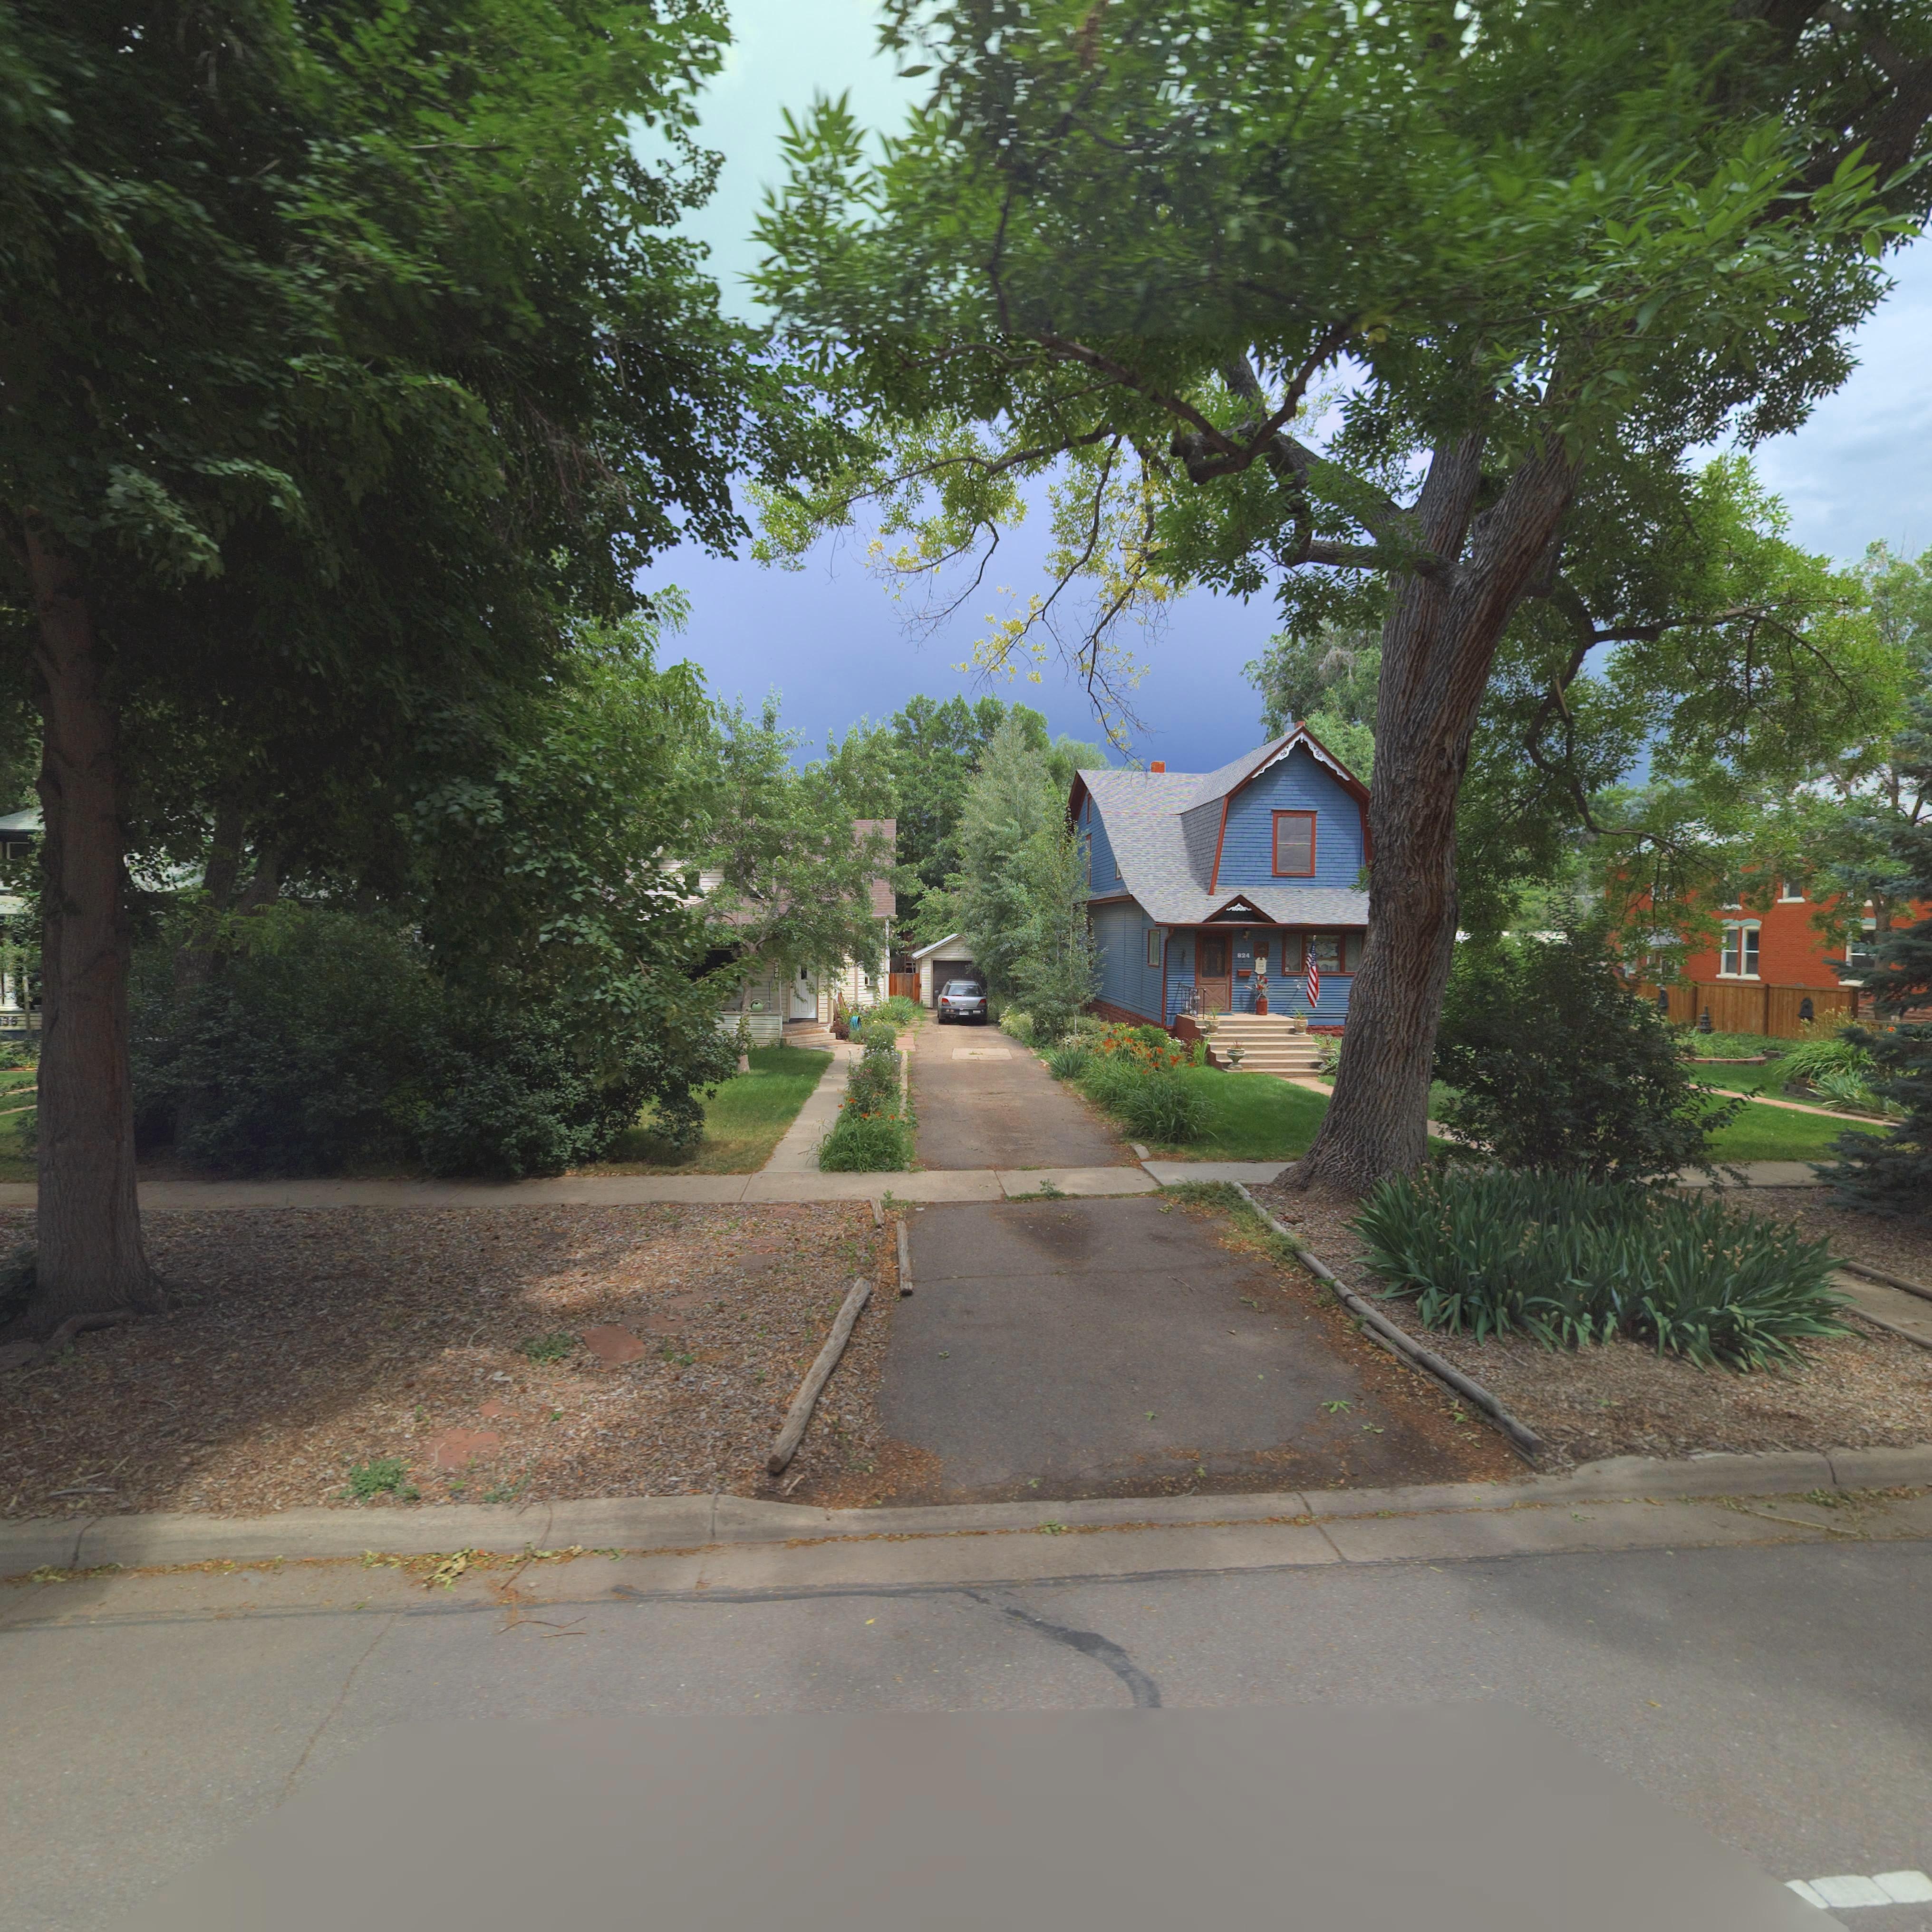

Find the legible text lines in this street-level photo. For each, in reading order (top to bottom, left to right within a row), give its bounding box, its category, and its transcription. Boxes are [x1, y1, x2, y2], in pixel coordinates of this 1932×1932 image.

[1236, 952, 1250, 958] StreetNumber: 824